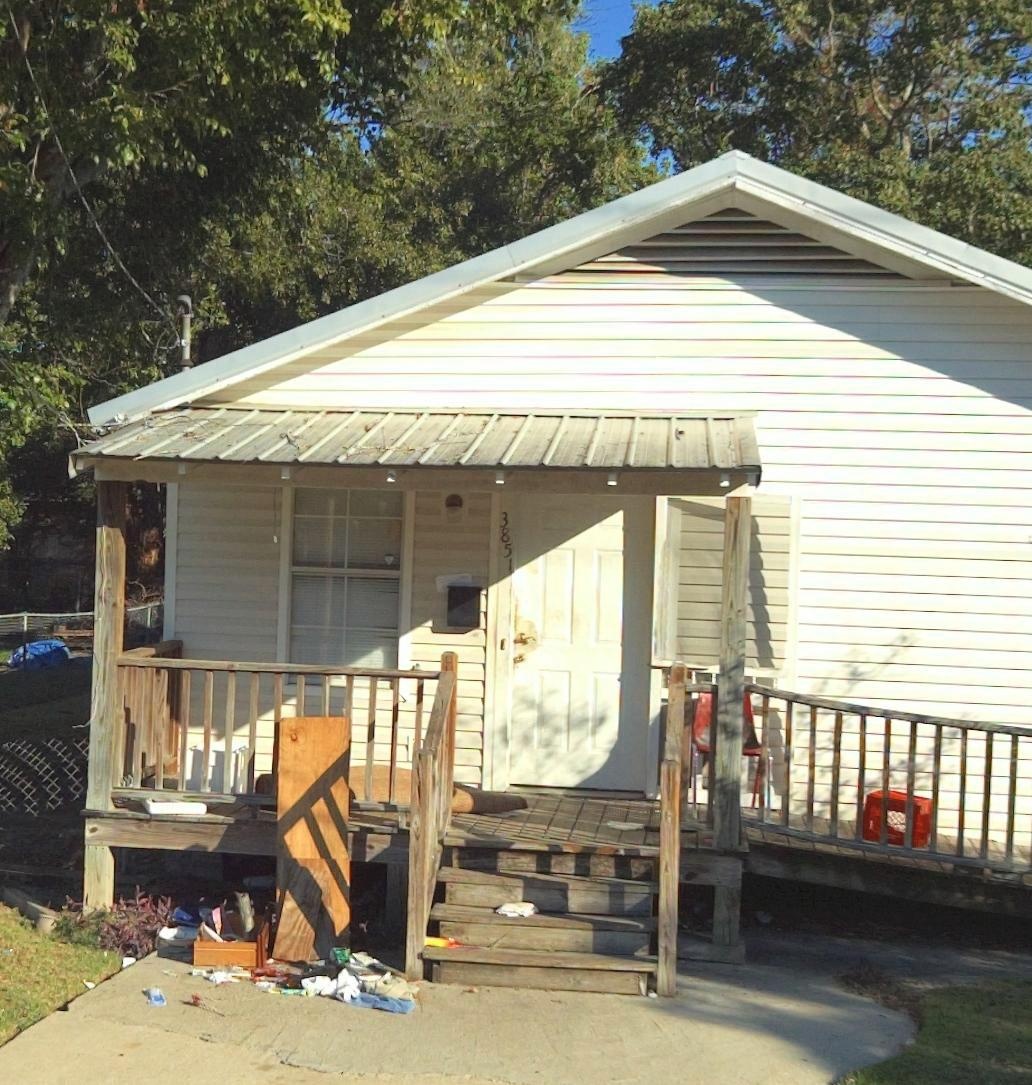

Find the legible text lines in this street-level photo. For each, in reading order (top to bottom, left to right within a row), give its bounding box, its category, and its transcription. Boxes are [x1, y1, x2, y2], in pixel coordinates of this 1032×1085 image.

[498, 510, 515, 573] StreetNumber: 3851